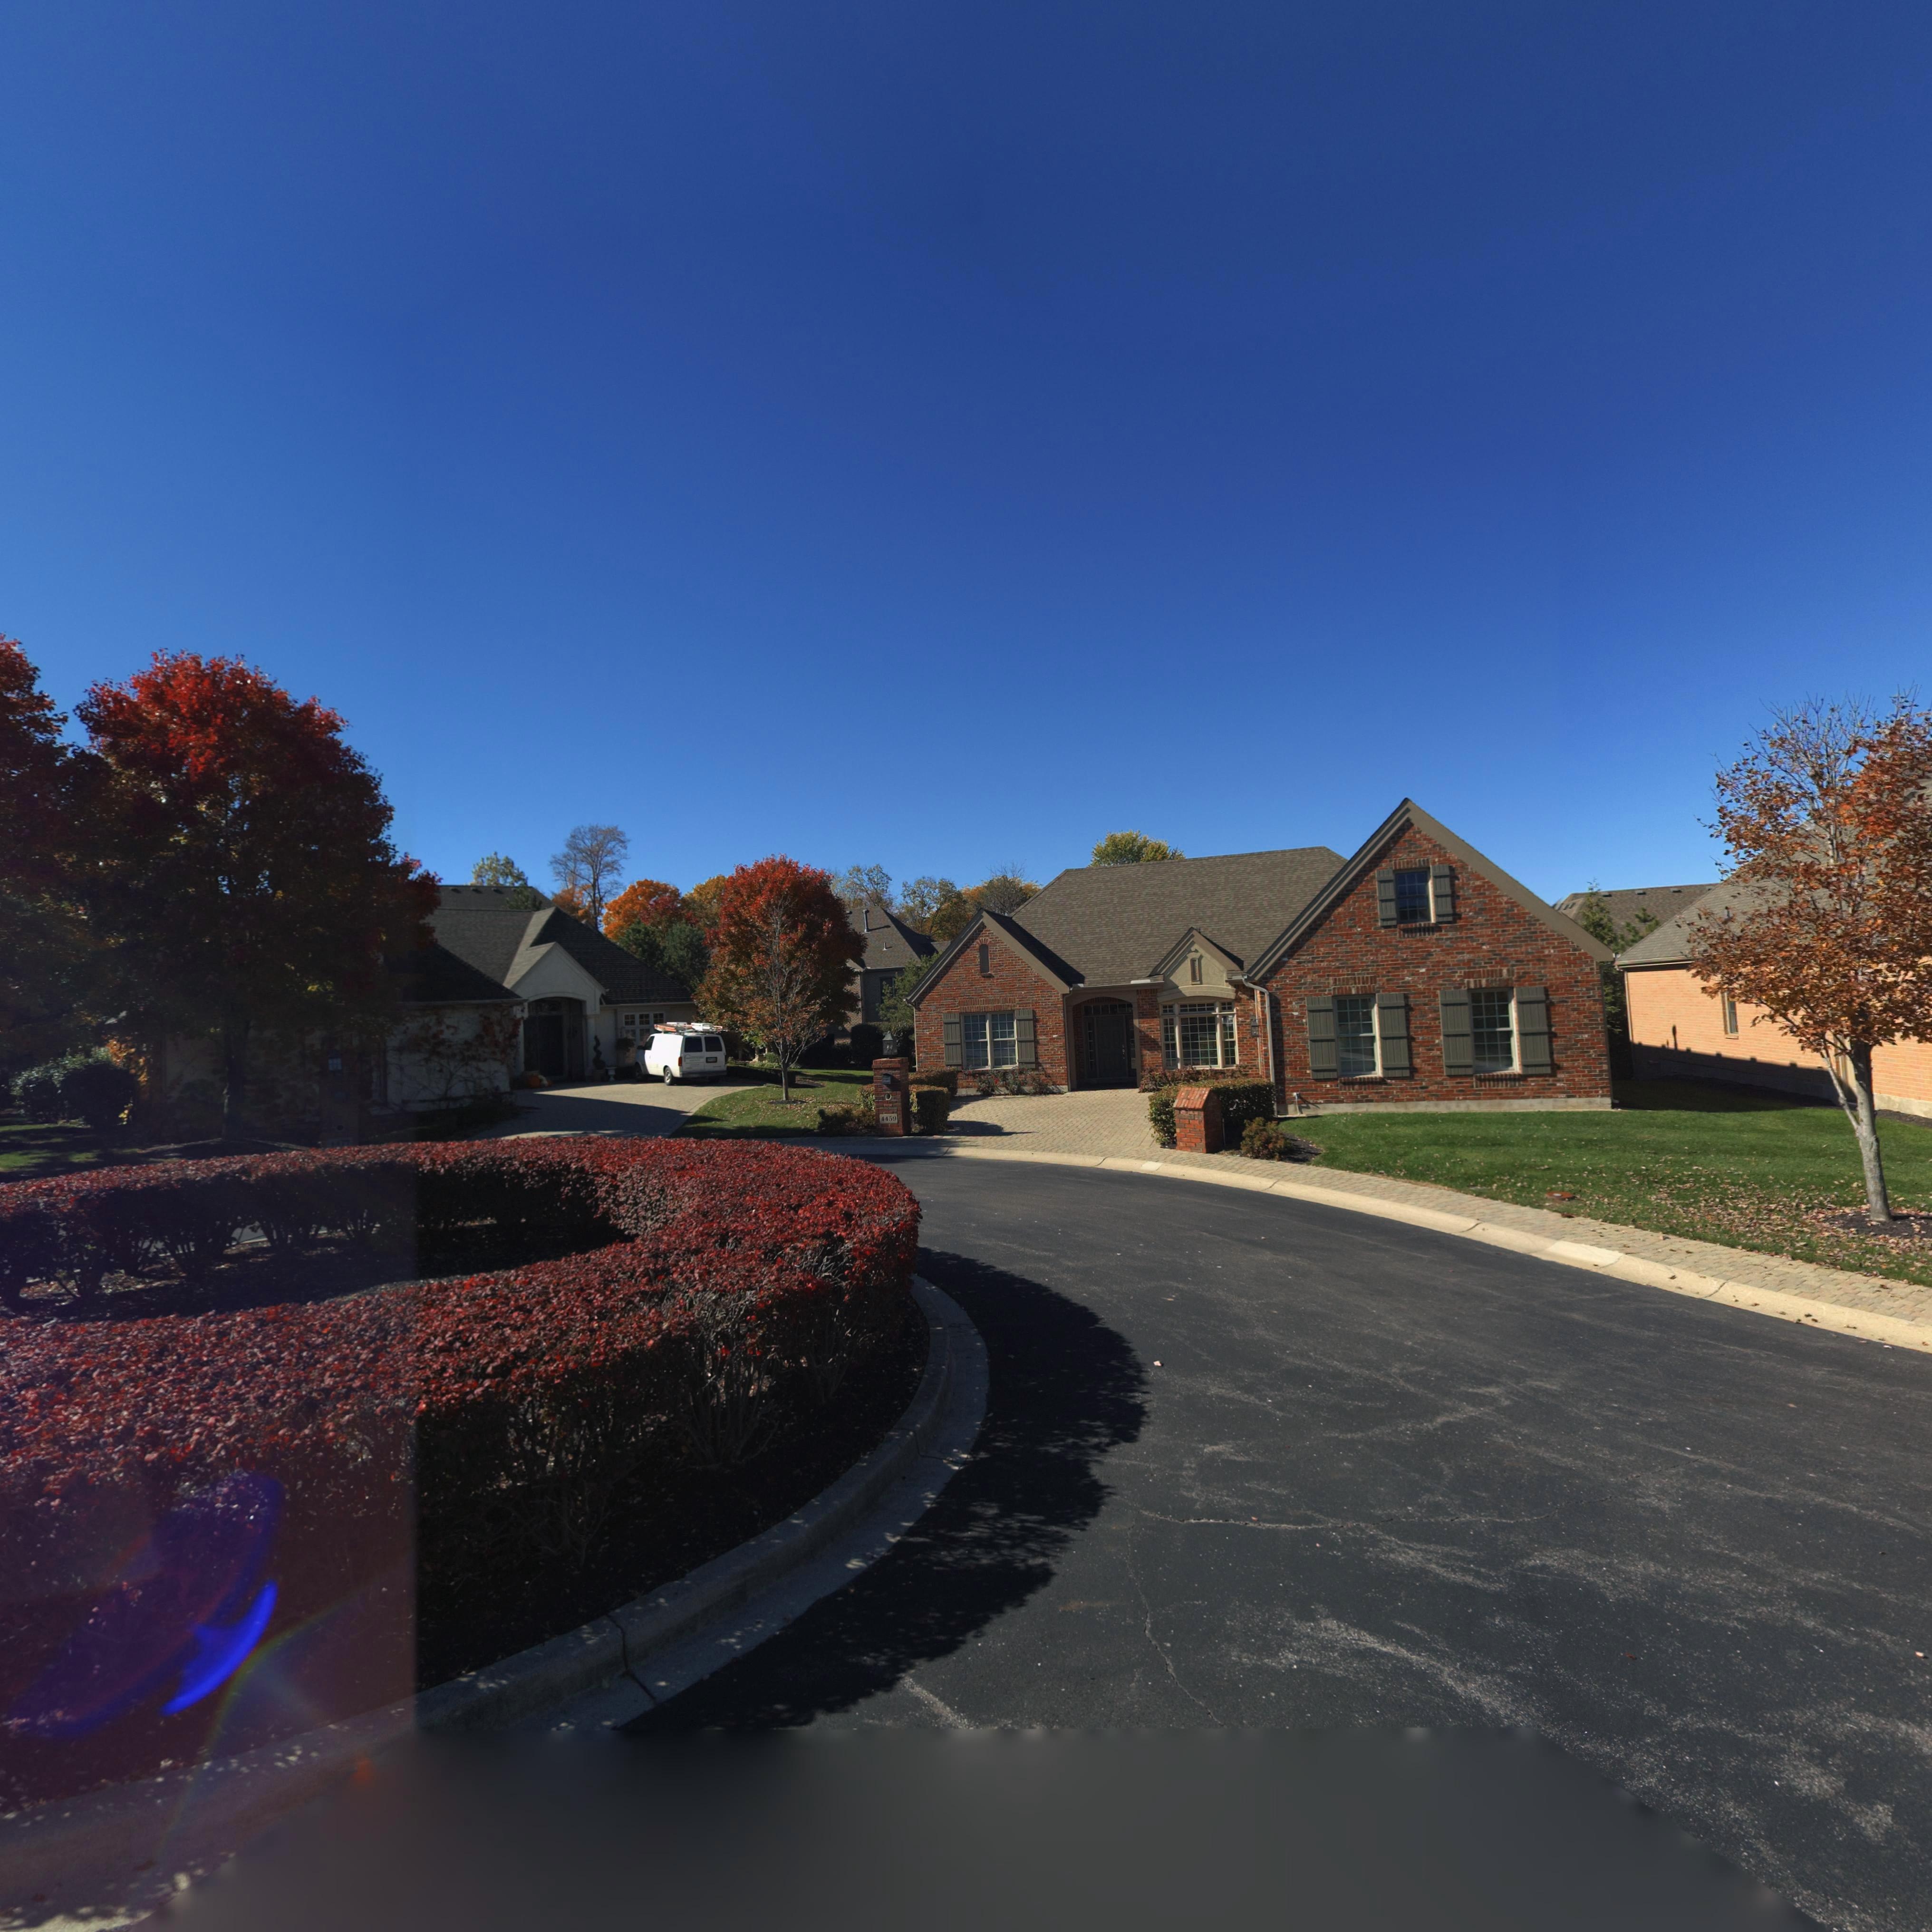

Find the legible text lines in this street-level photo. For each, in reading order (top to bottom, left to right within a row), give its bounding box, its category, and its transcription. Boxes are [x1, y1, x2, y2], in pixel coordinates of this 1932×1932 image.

[880, 1115, 897, 1122] StreetNumber: 4459